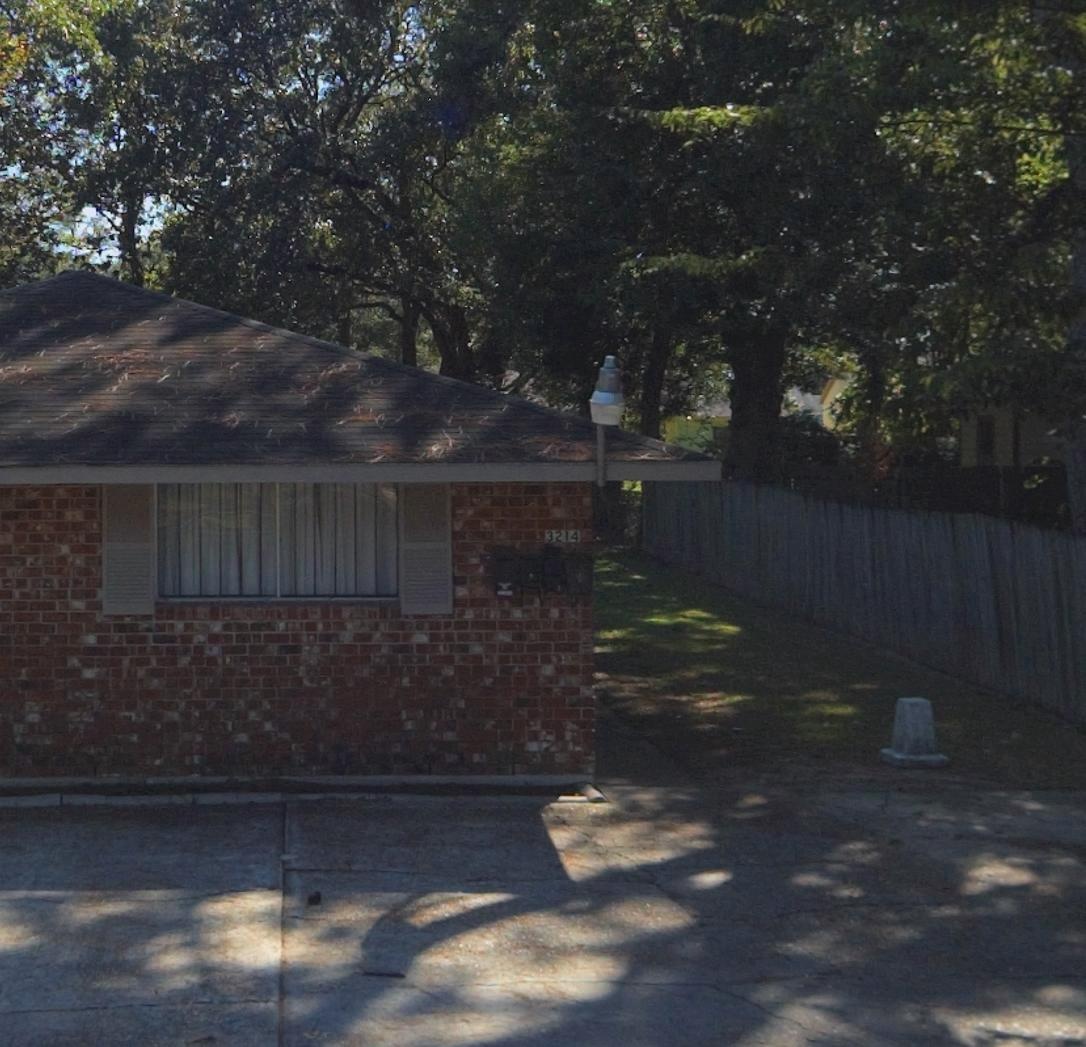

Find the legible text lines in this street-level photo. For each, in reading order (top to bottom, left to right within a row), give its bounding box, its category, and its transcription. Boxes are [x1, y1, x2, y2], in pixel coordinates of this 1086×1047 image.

[545, 529, 580, 543] StreetNumber: 3214